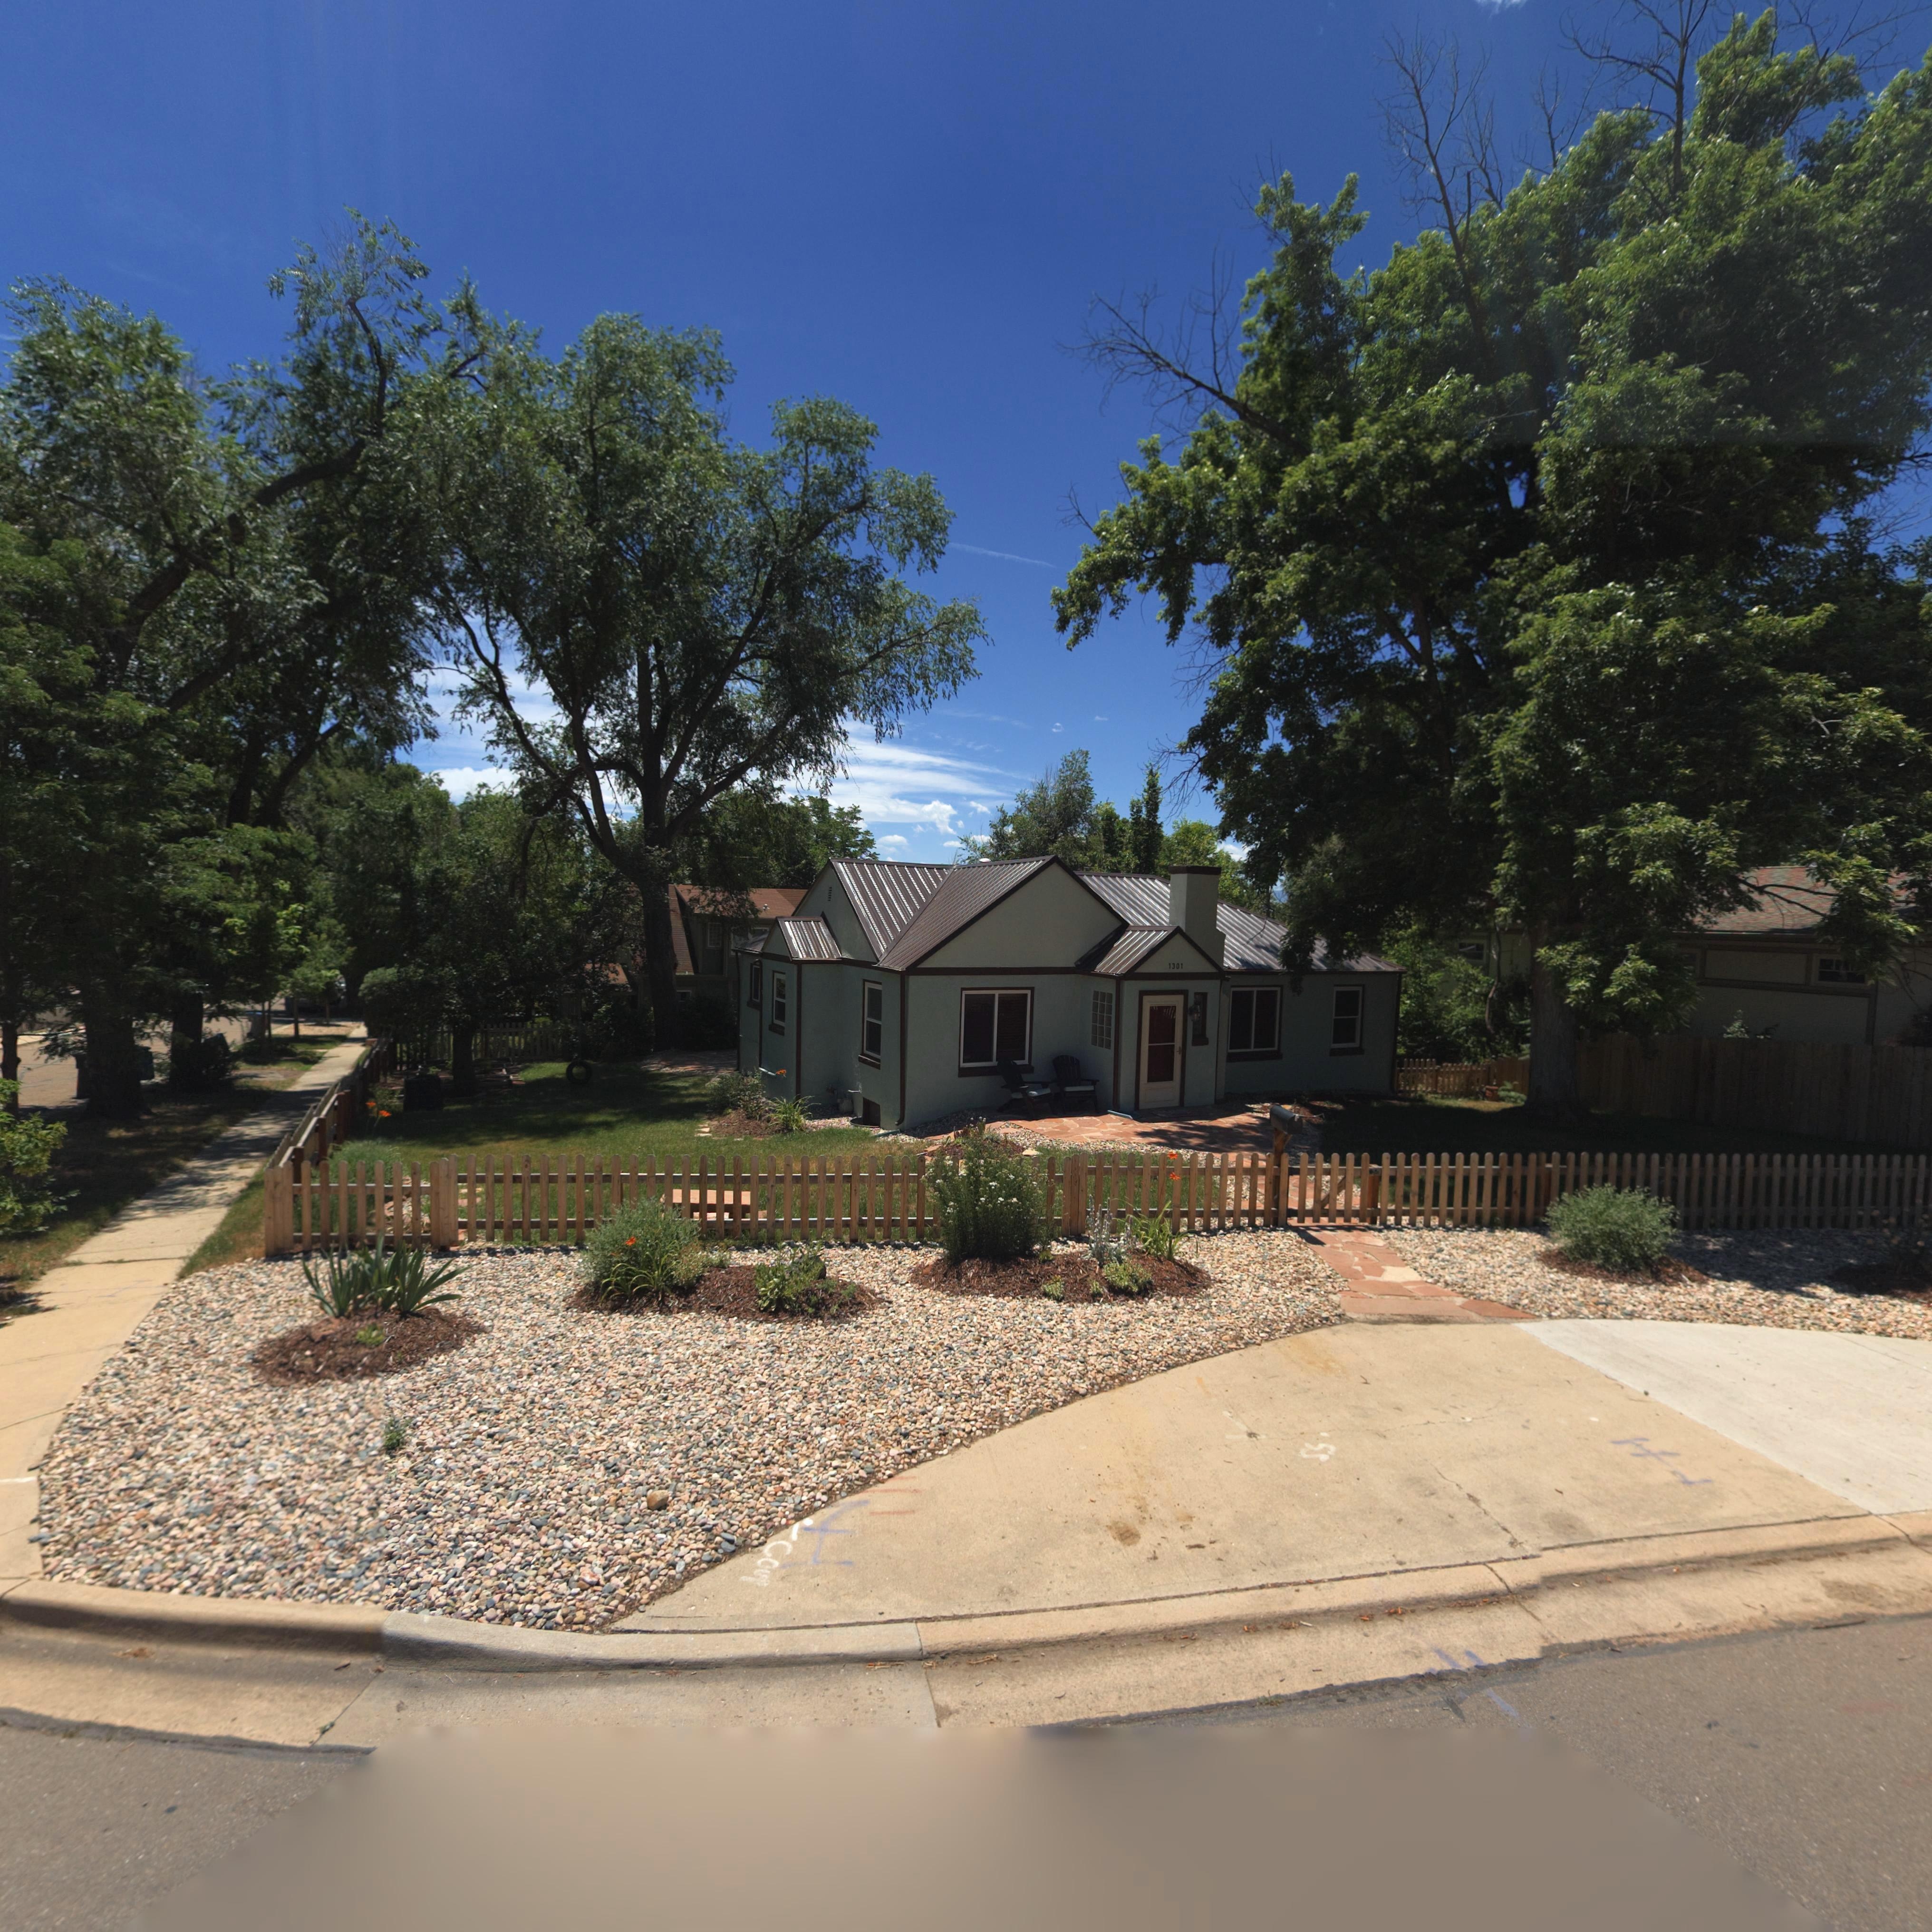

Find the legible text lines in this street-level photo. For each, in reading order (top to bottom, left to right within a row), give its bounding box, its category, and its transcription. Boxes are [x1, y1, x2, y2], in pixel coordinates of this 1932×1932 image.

[1169, 963, 1183, 969] StreetNumber: 1301